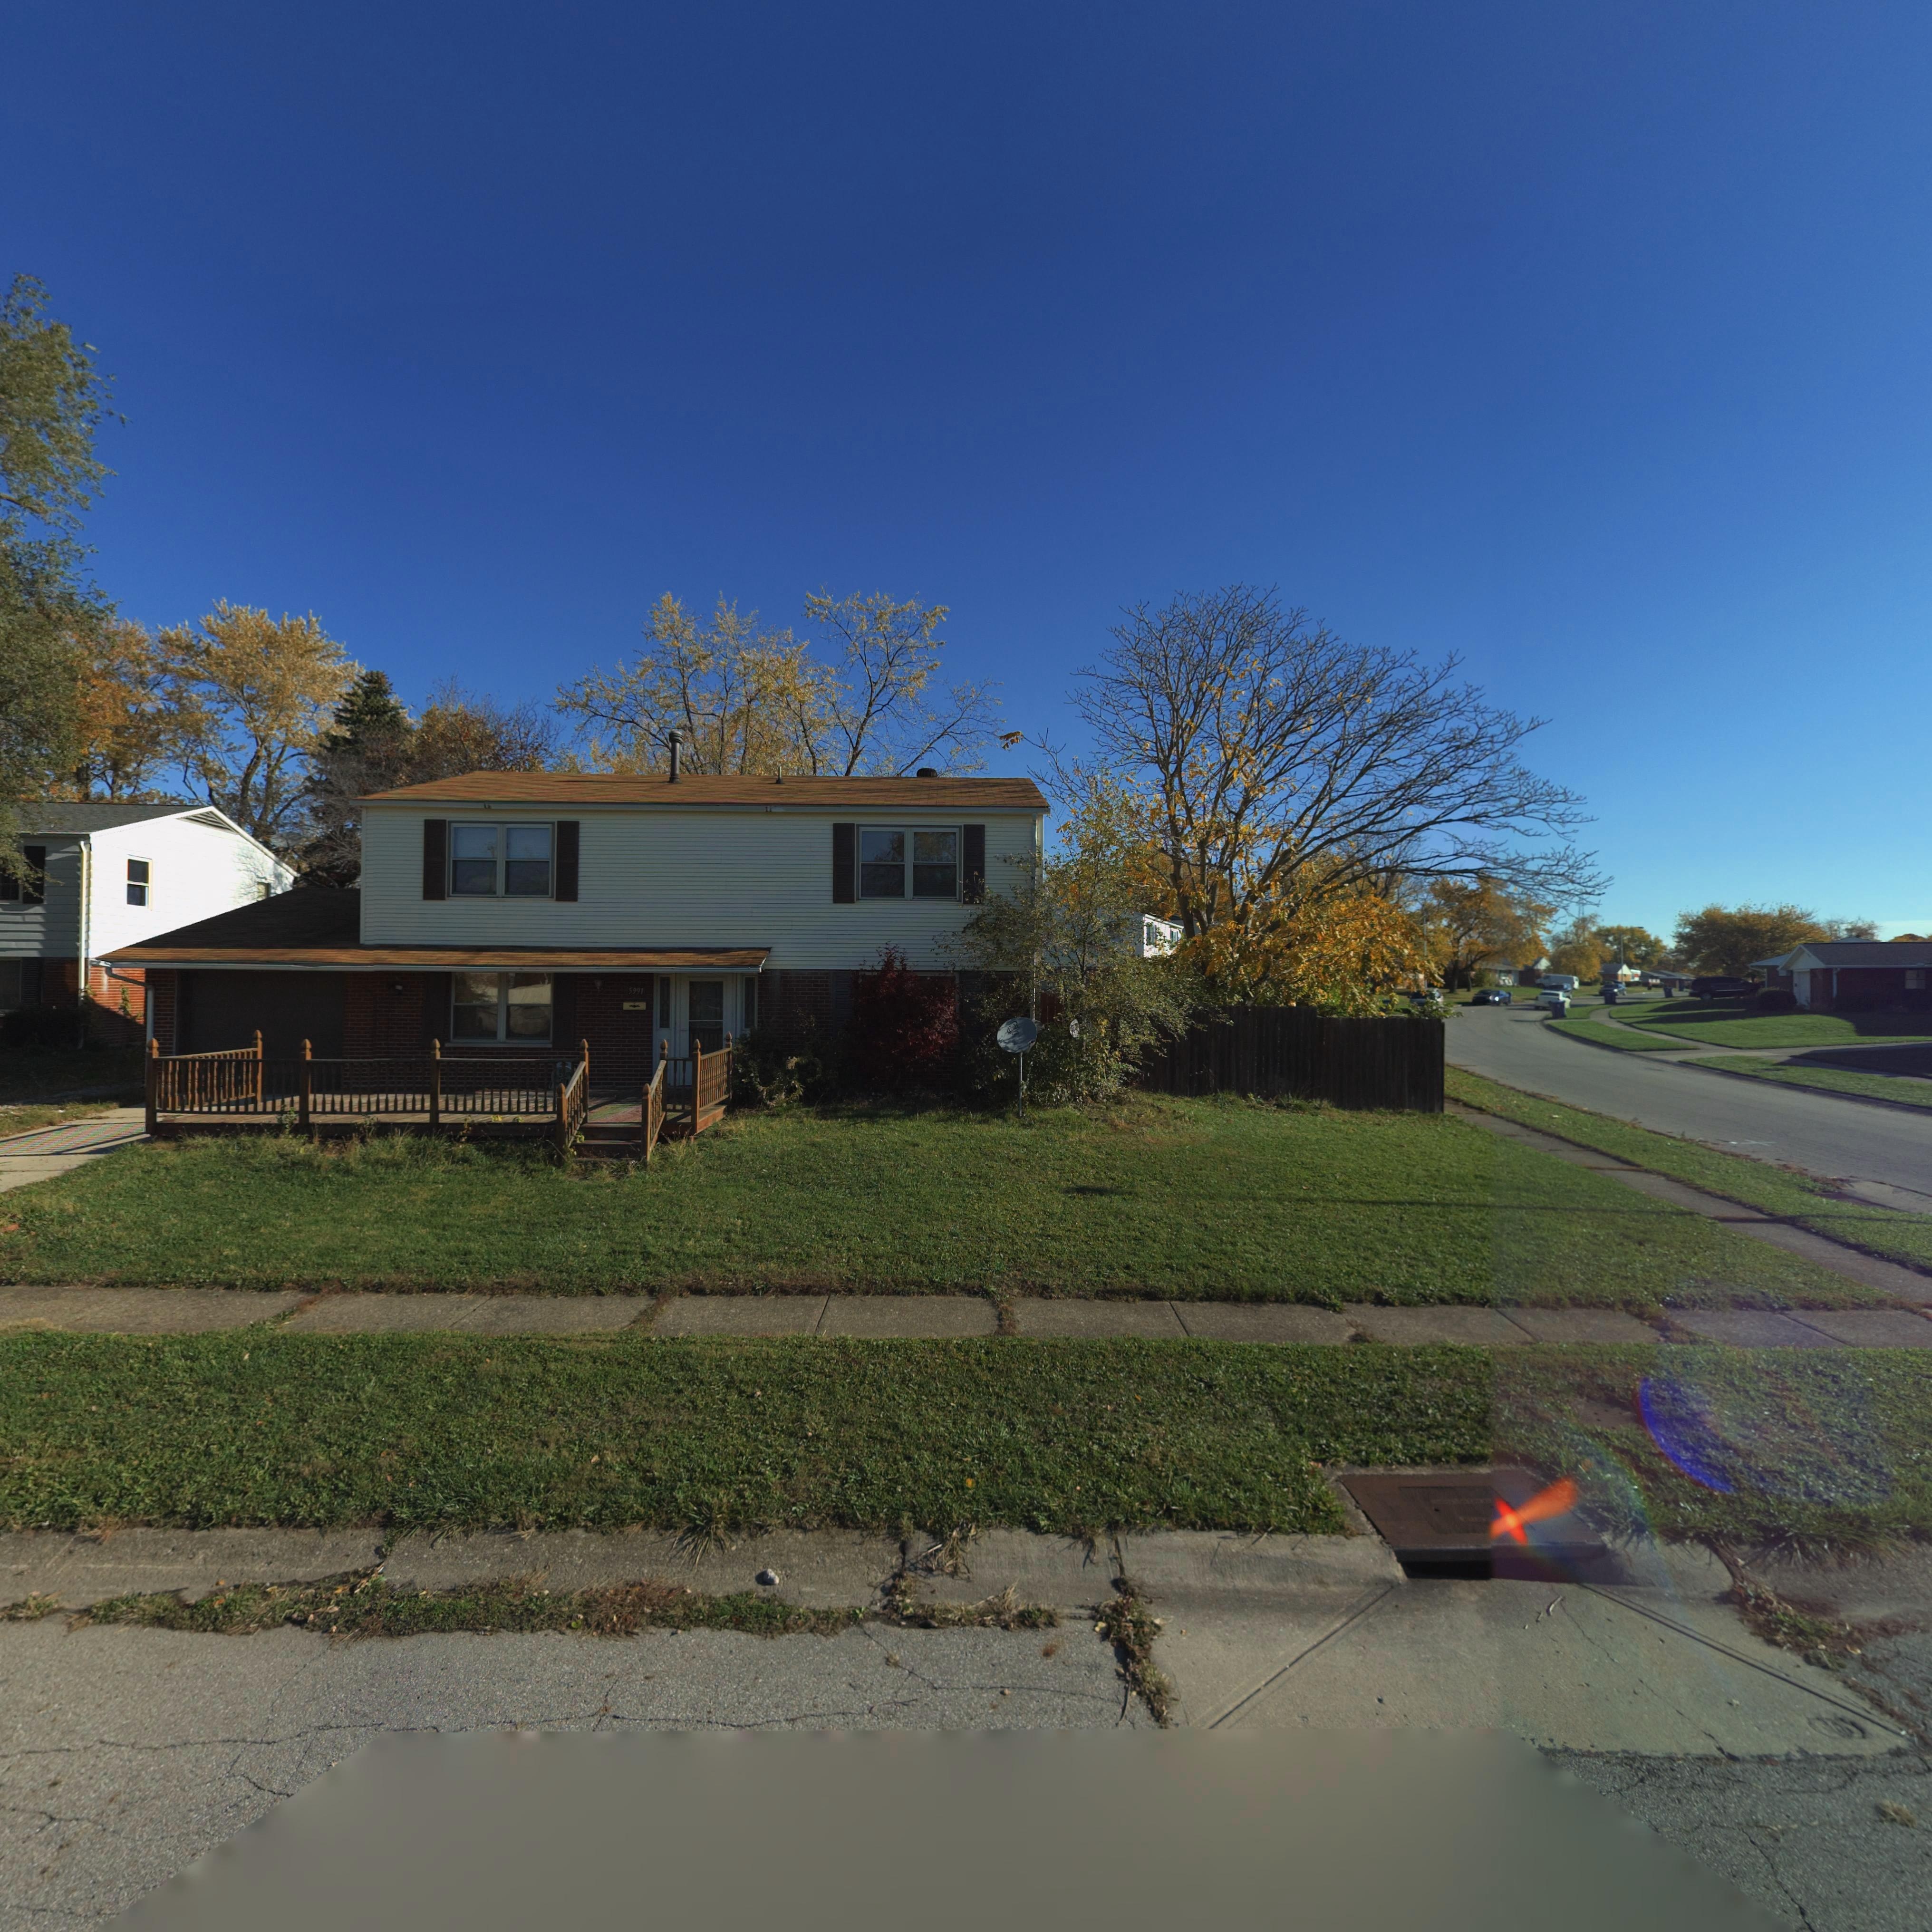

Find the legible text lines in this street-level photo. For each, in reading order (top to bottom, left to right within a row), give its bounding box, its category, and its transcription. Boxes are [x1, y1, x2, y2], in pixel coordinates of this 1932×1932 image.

[628, 986, 645, 995] StreetNumber: 5991